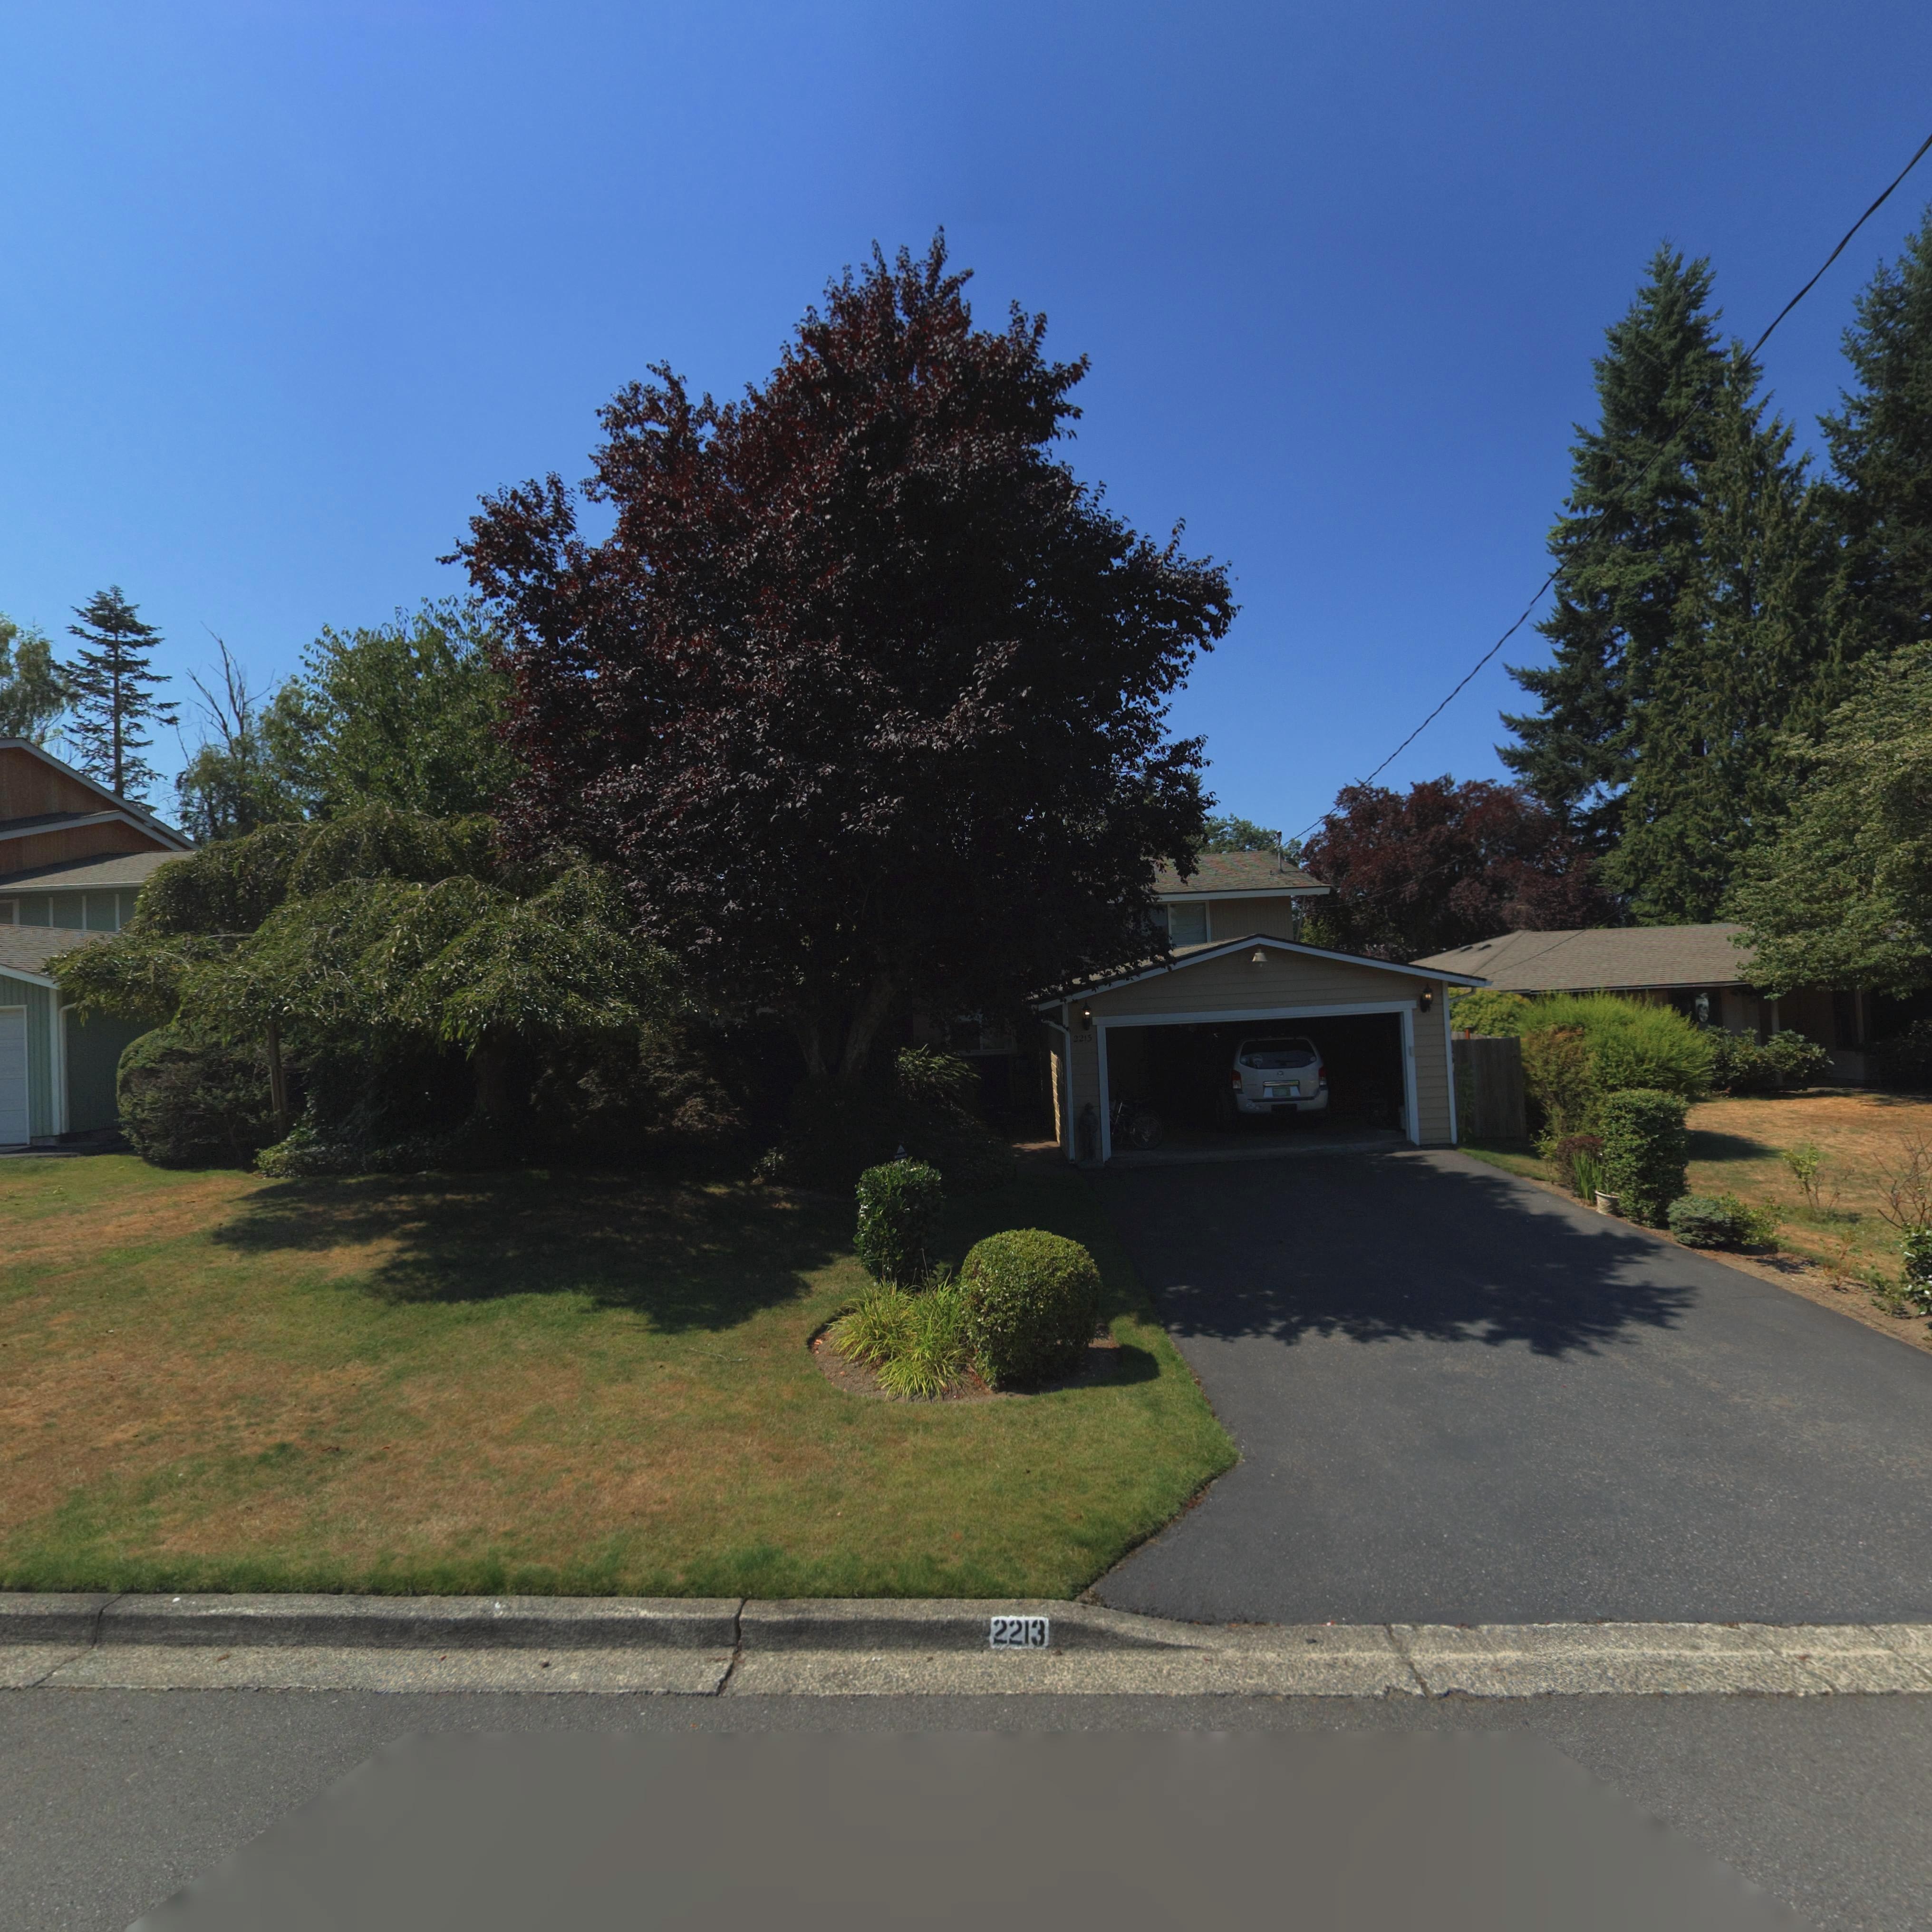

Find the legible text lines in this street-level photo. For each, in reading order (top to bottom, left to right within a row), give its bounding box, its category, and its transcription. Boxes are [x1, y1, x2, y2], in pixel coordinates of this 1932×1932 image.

[1072, 1033, 1093, 1042] StreetNumber: 2213
[992, 1618, 1047, 1648] StreetNumber: 2213